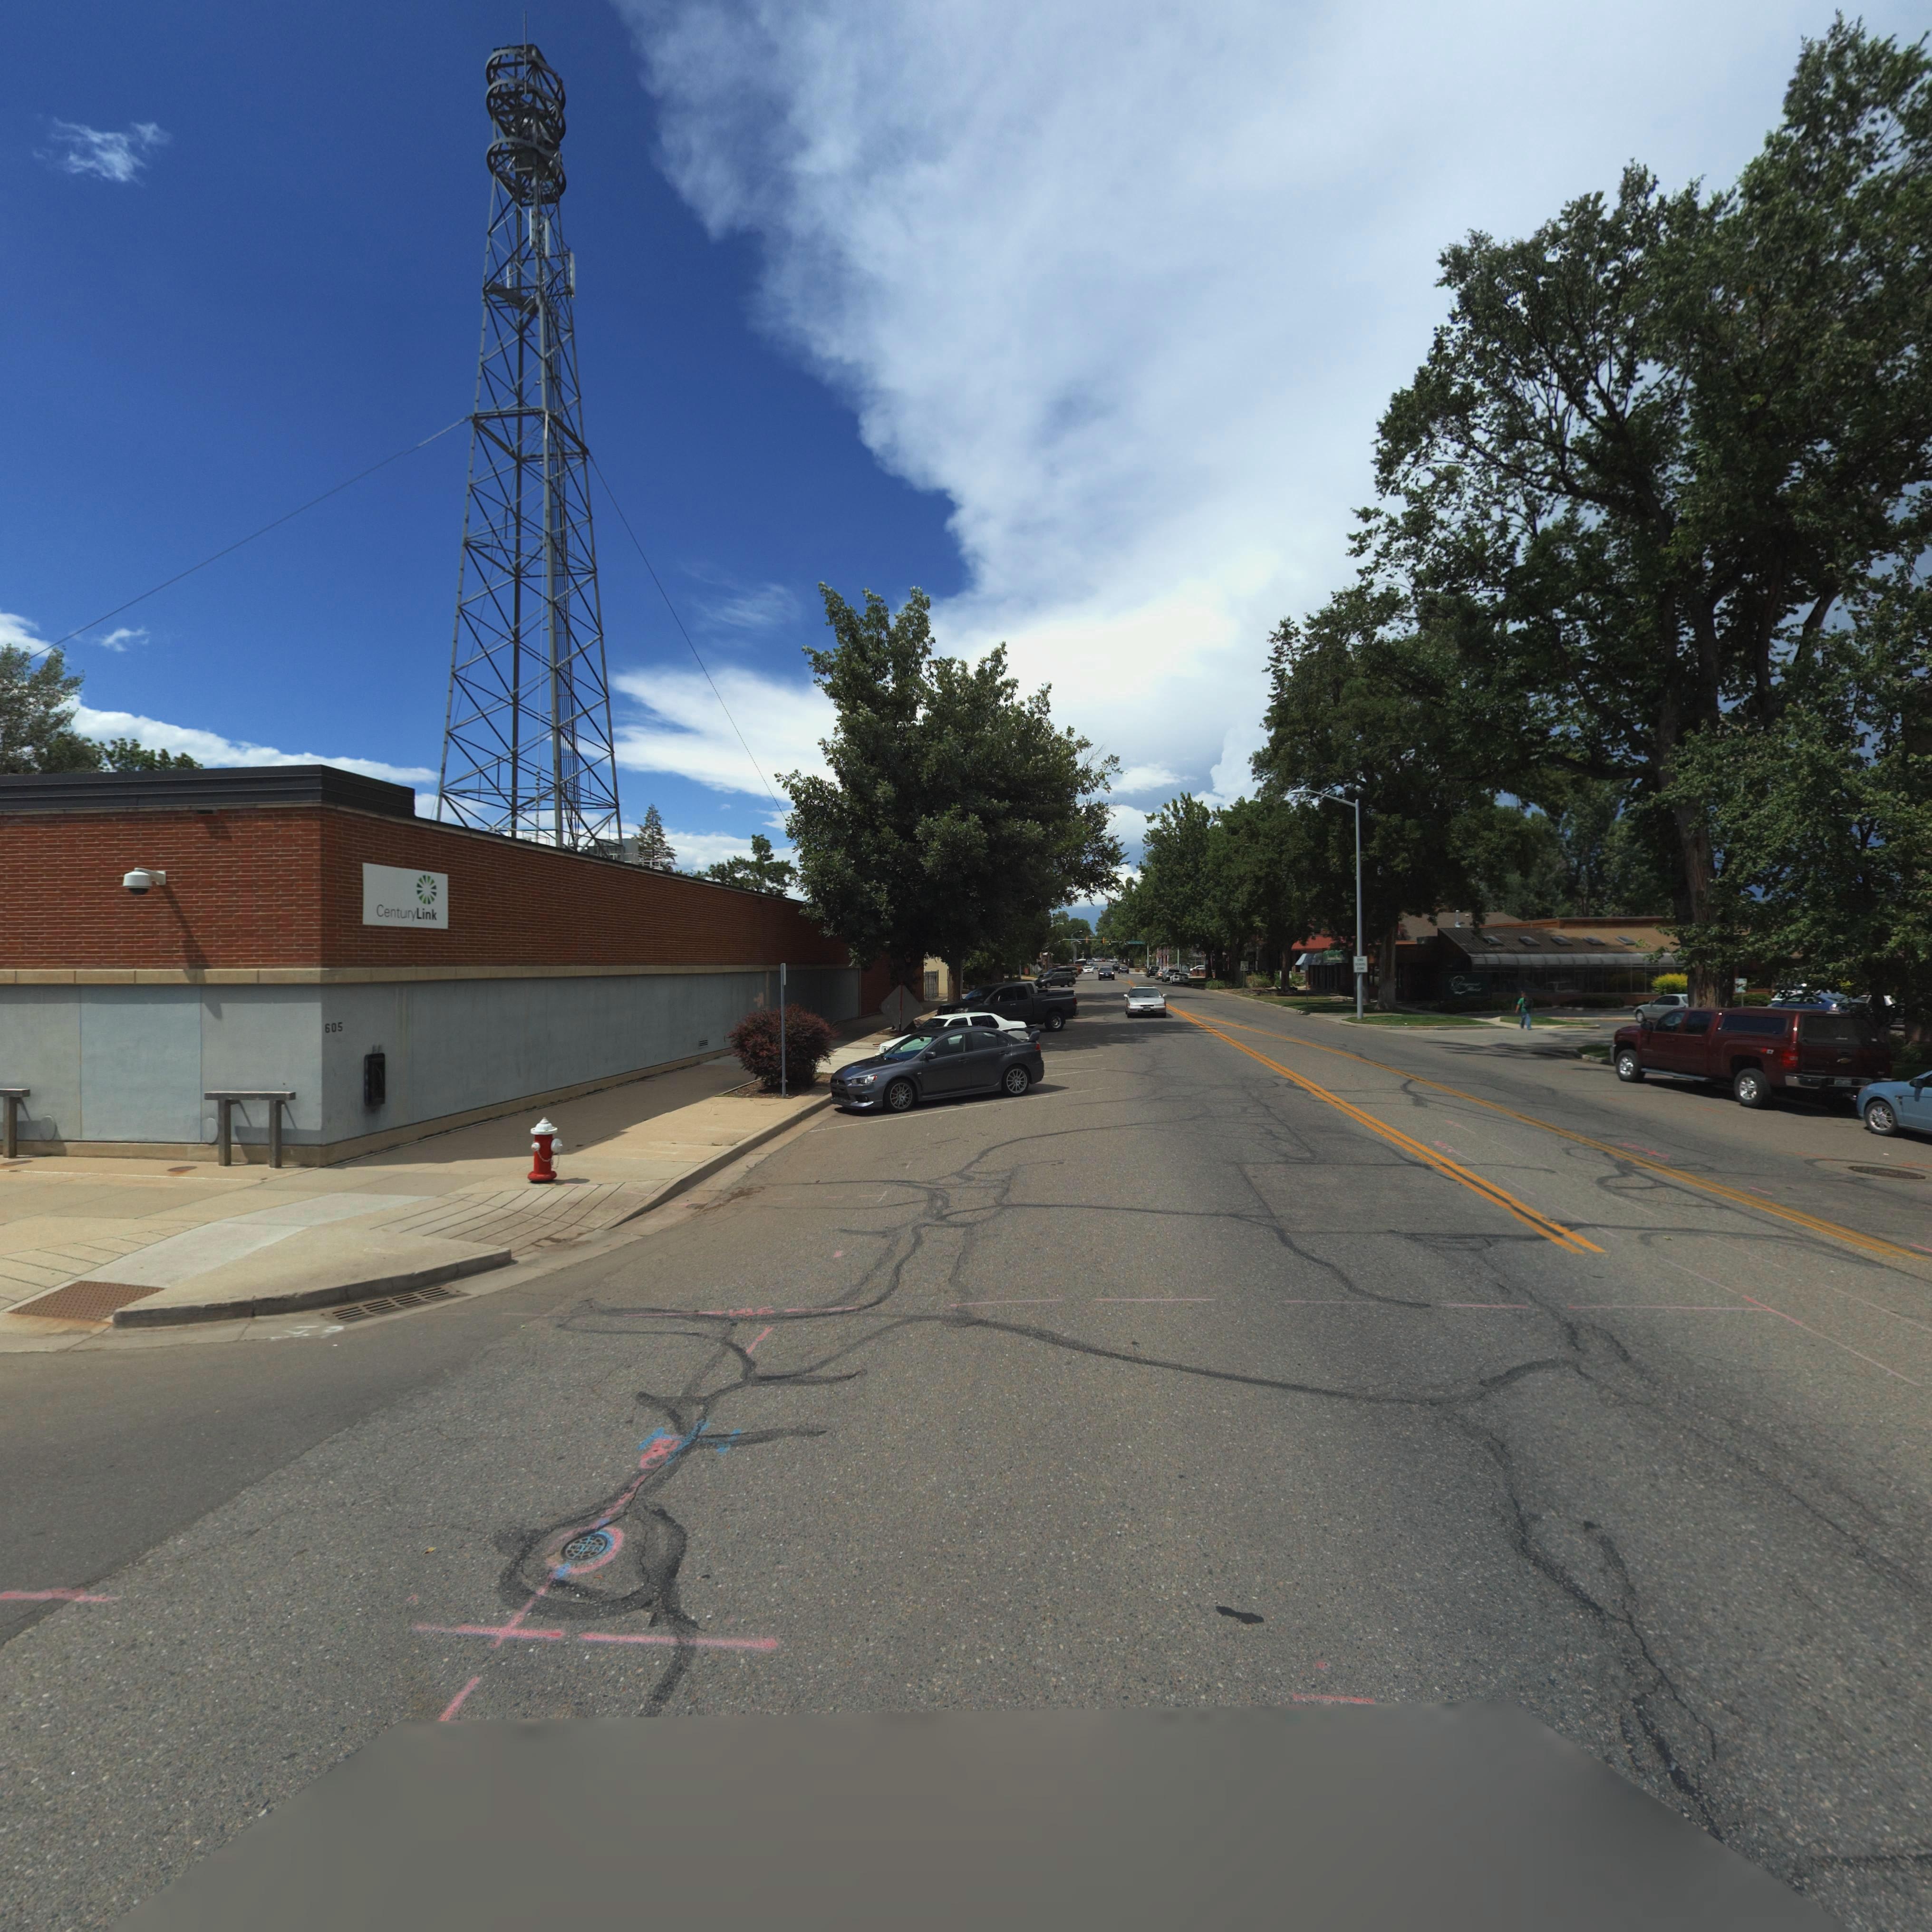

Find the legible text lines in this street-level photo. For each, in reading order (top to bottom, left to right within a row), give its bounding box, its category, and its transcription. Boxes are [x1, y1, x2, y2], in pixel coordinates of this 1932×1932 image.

[376, 903, 437, 922] BusinessName: CenturyLink
[324, 1021, 343, 1034] StreetNumber: 605